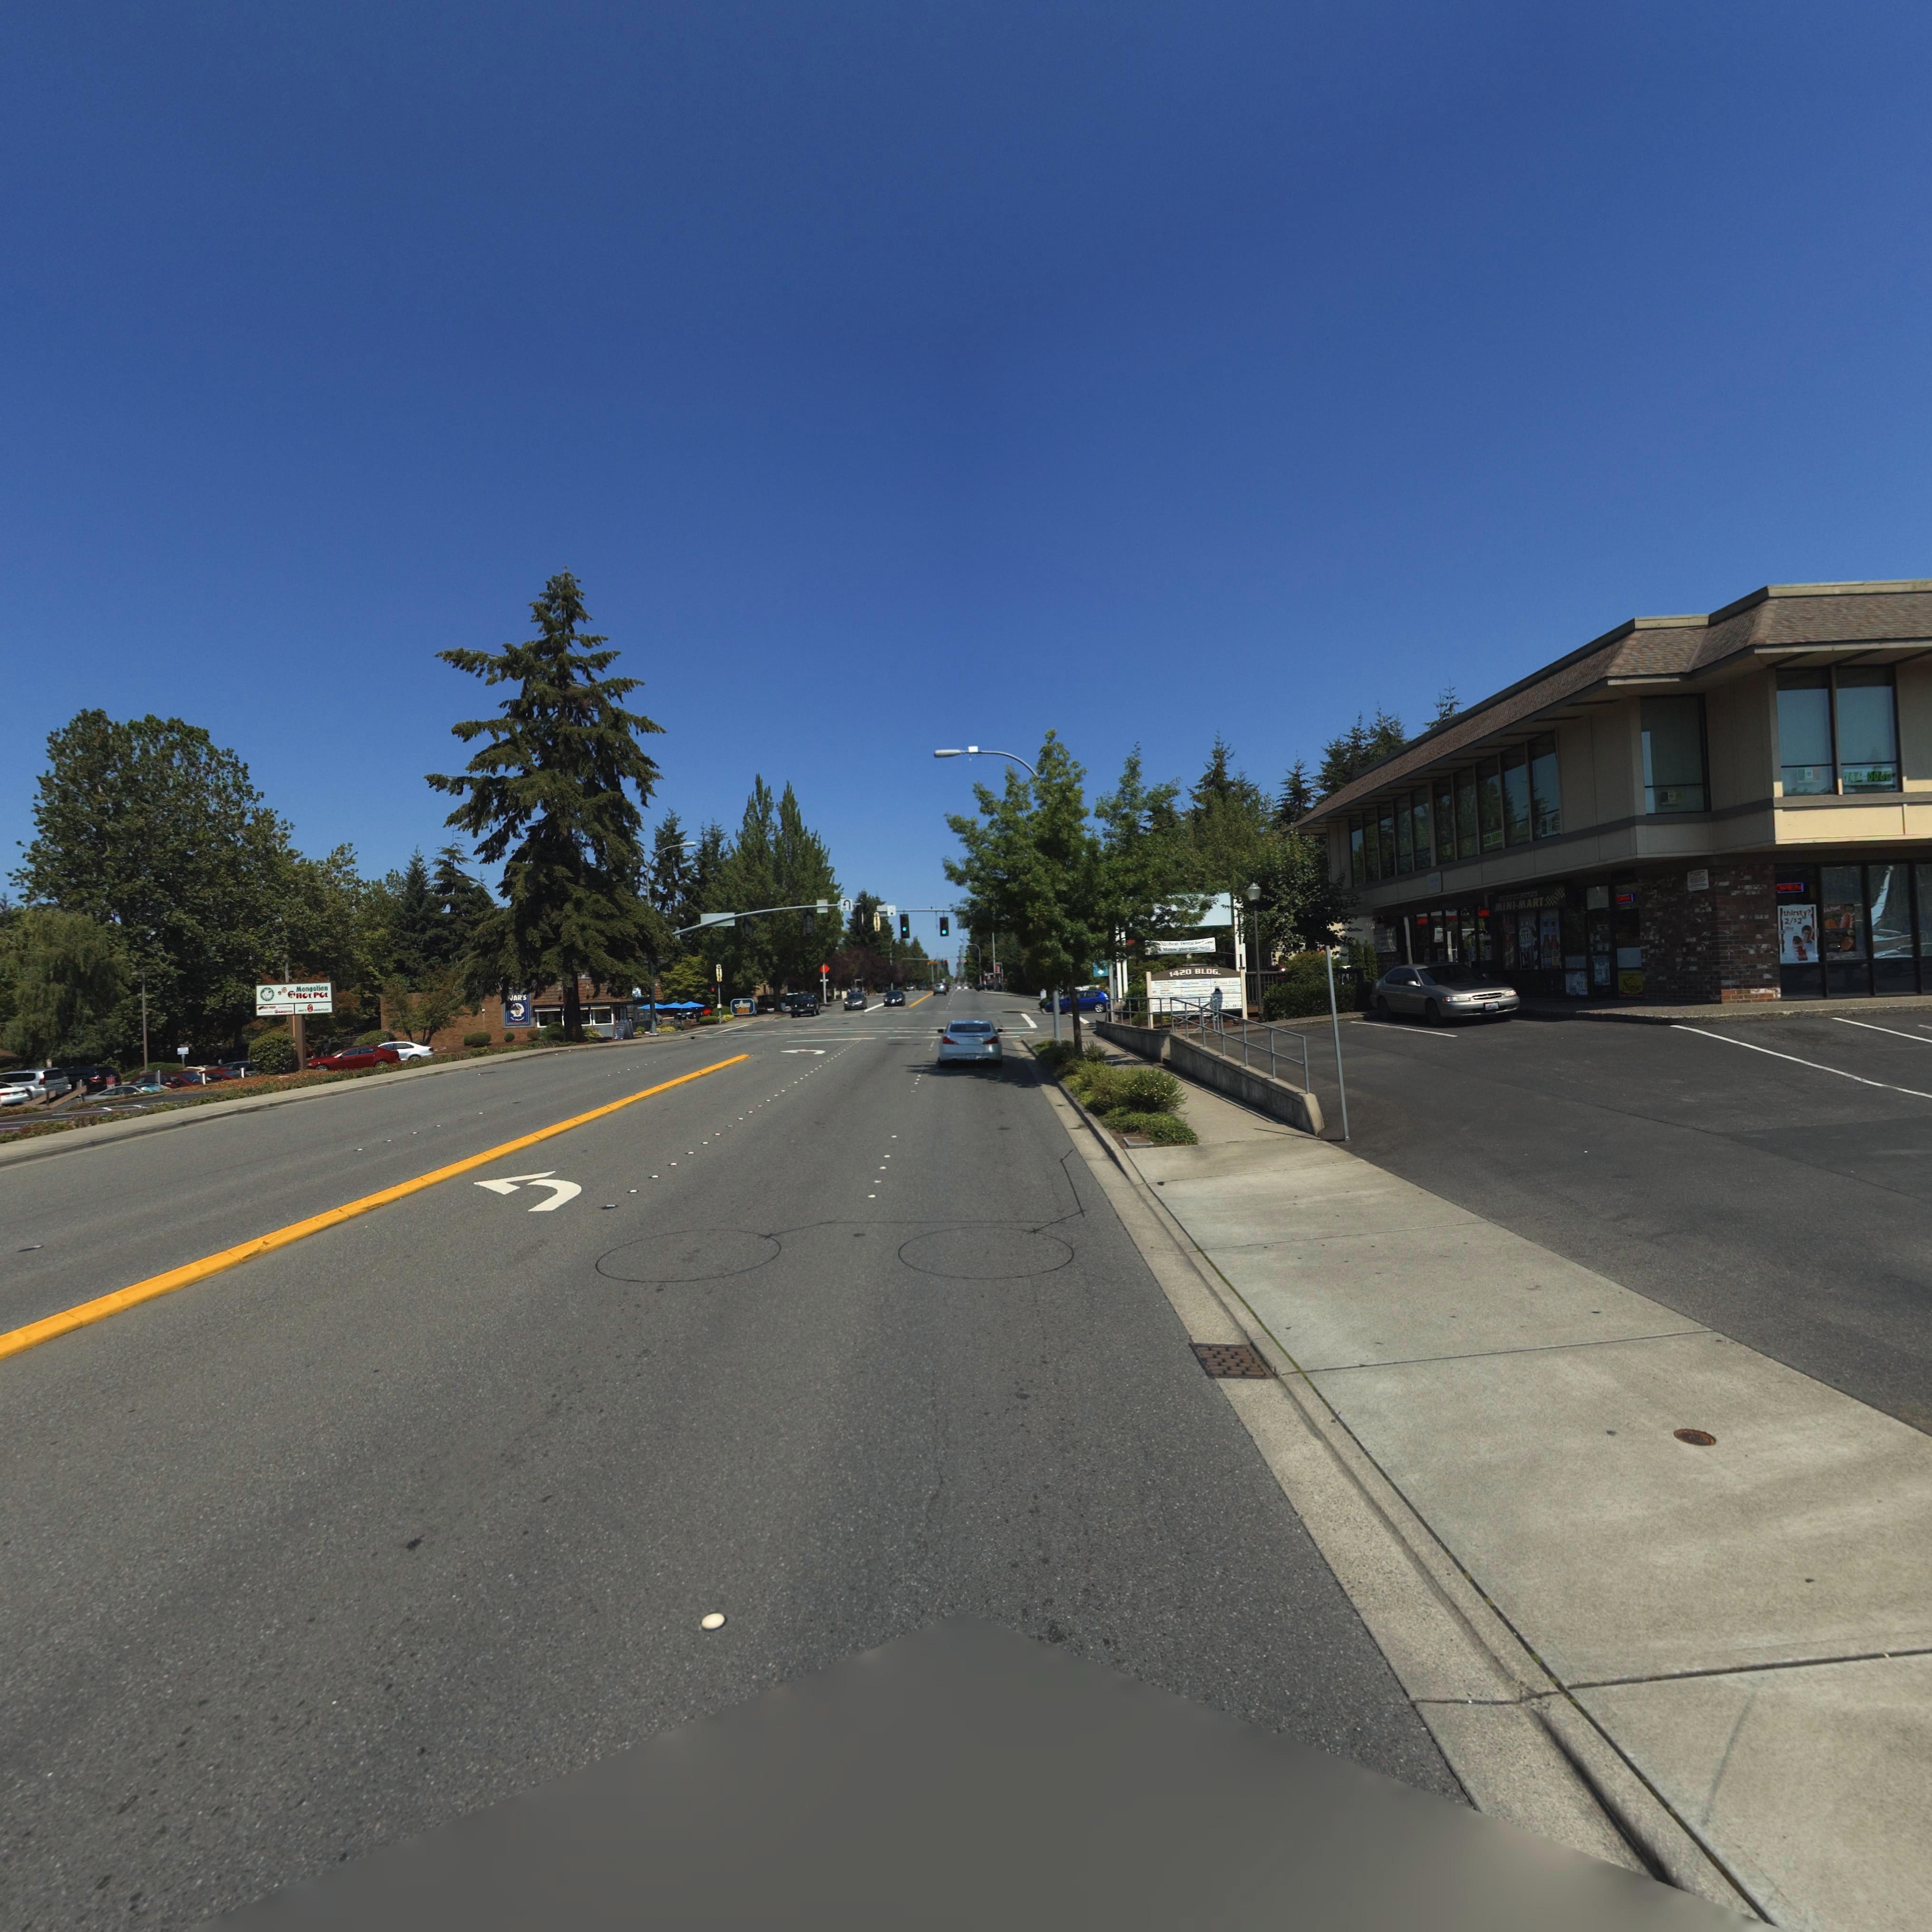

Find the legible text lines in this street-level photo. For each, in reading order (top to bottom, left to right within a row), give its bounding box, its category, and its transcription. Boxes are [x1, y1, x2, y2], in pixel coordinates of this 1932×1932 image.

[1494, 894, 1545, 913] BusinessName: MINI-MART
[1168, 967, 1192, 978] StreetNumber: 1420
[296, 985, 328, 992] BusinessName: Mongolian
[295, 992, 328, 999] BusinessName: HOT POT
[510, 994, 527, 1001] BusinessName: *AR'S